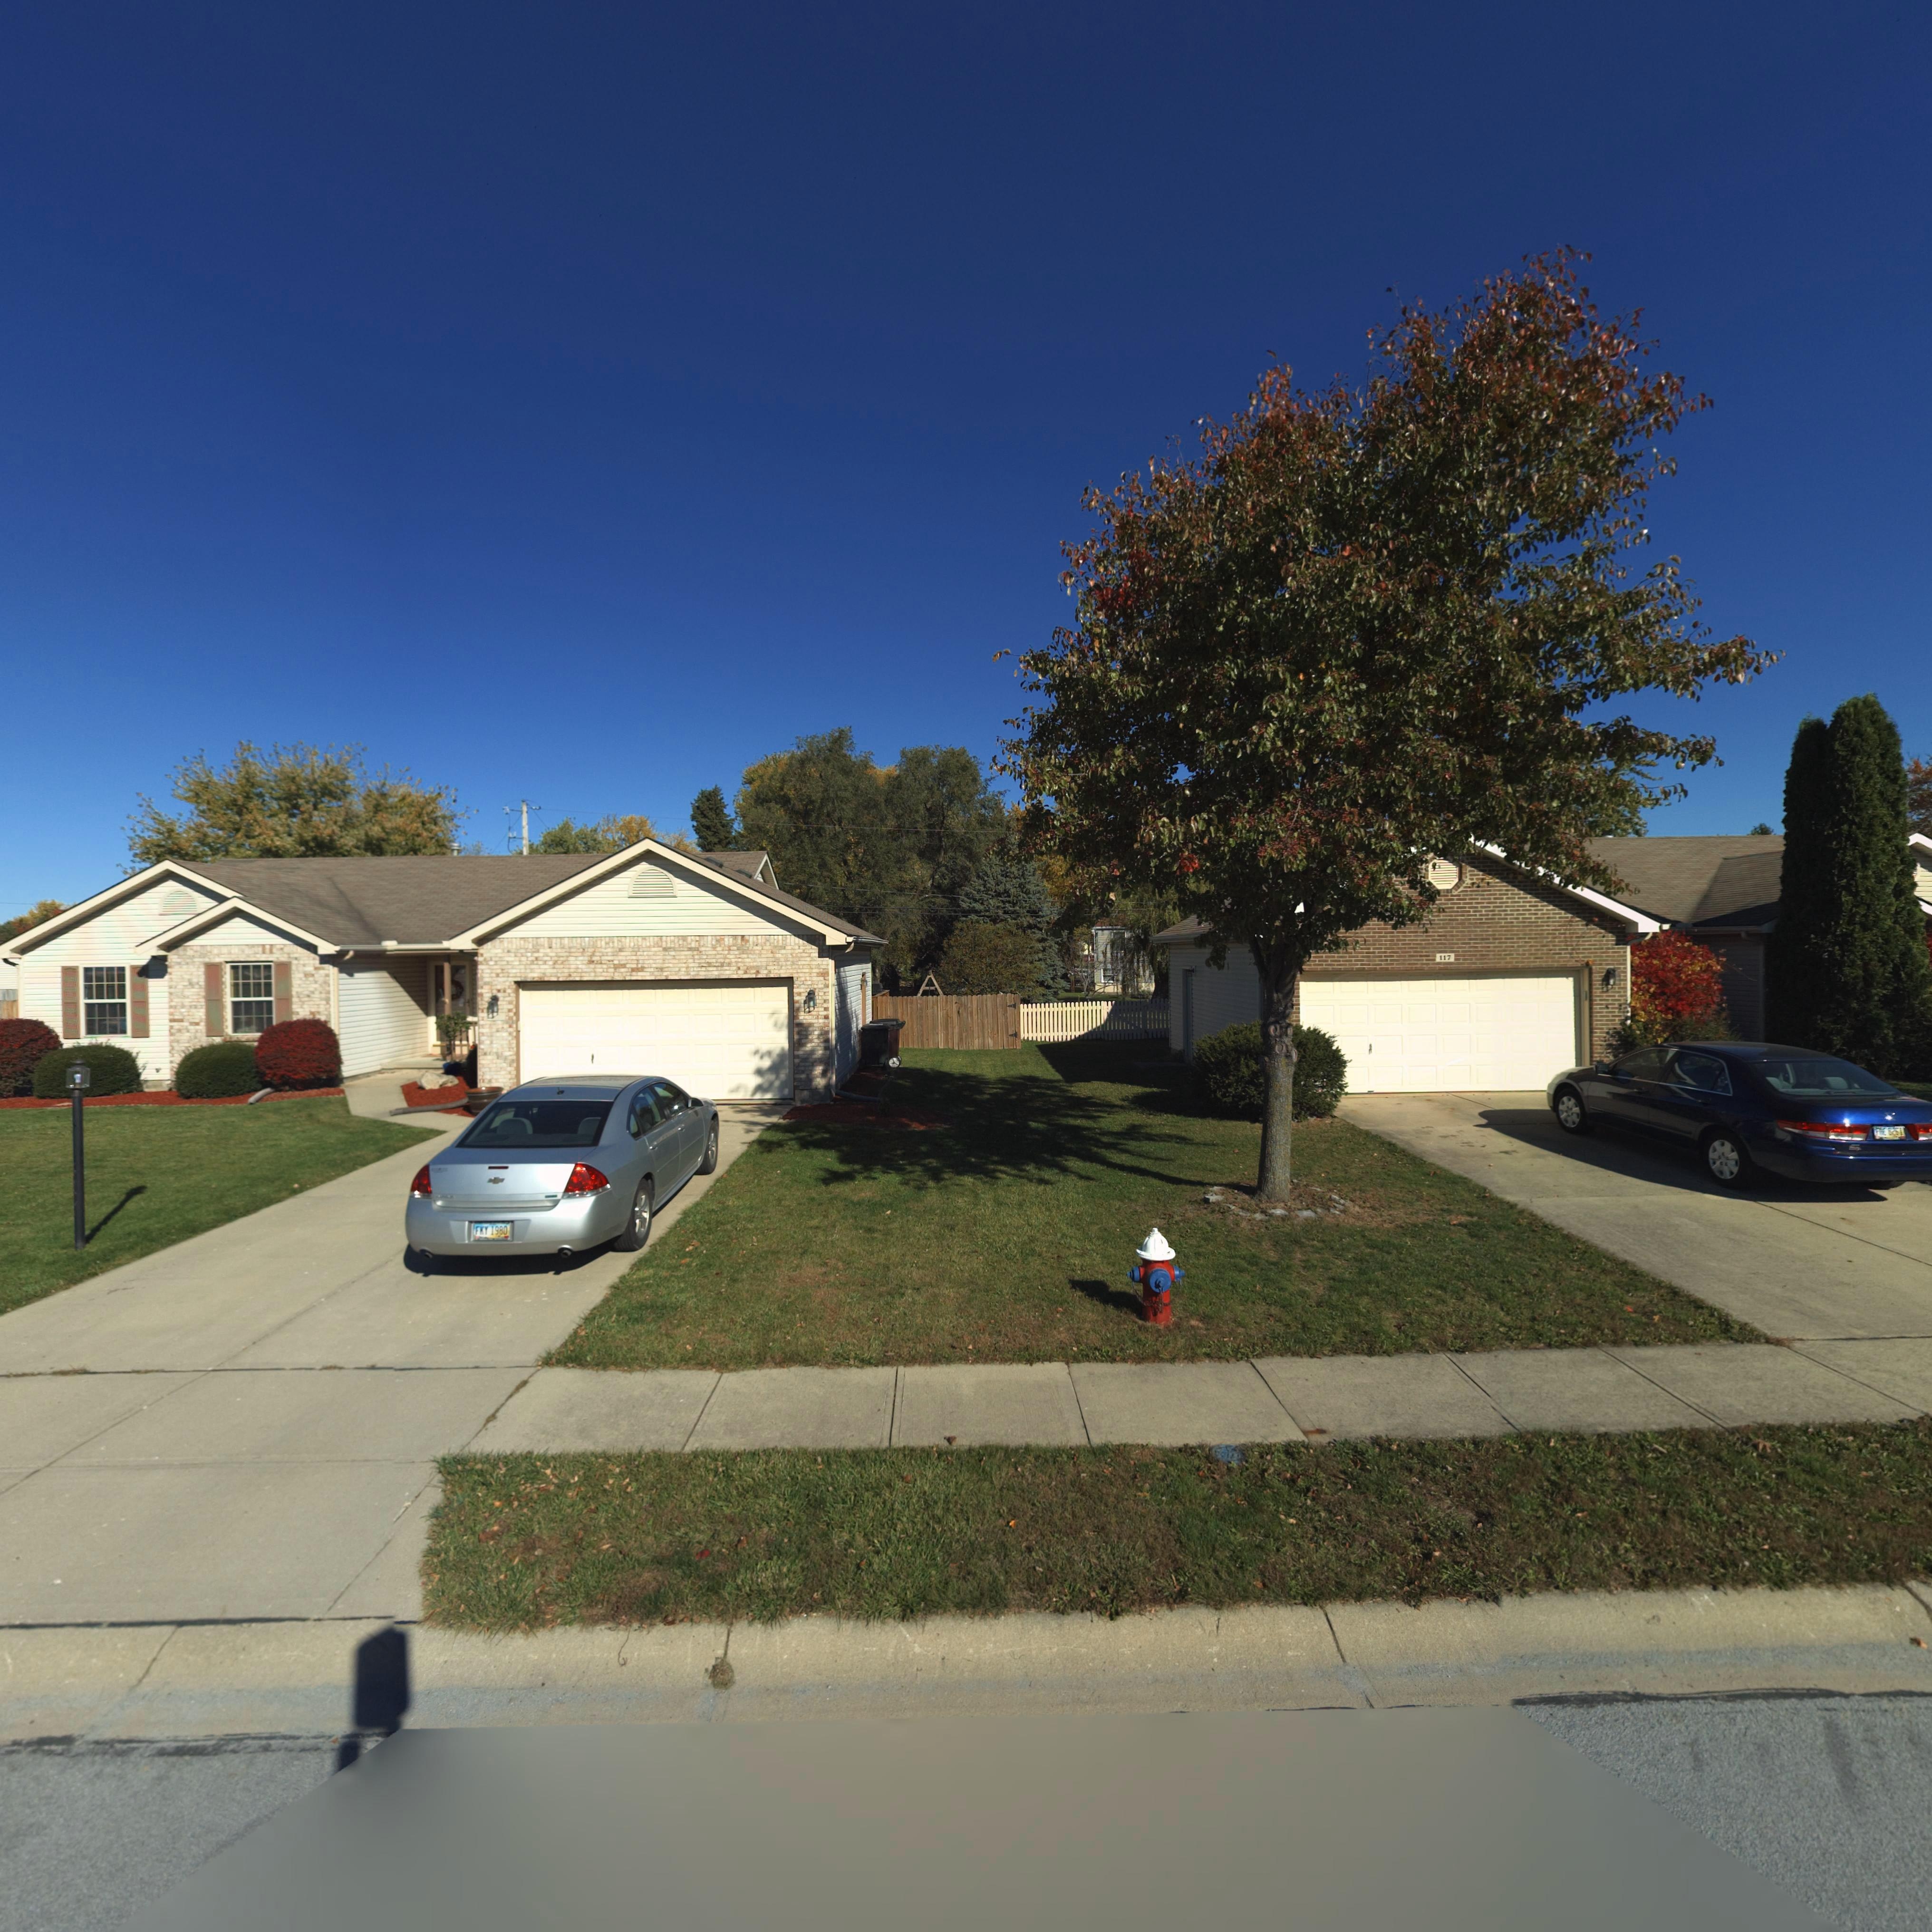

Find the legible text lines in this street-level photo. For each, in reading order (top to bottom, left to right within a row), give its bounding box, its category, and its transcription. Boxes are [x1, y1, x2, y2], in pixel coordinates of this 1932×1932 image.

[1439, 955, 1451, 961] StreetNumber: 117
[1874, 1126, 1903, 1136] None: *** 82**
[473, 1224, 509, 1236] None: FKY 1980